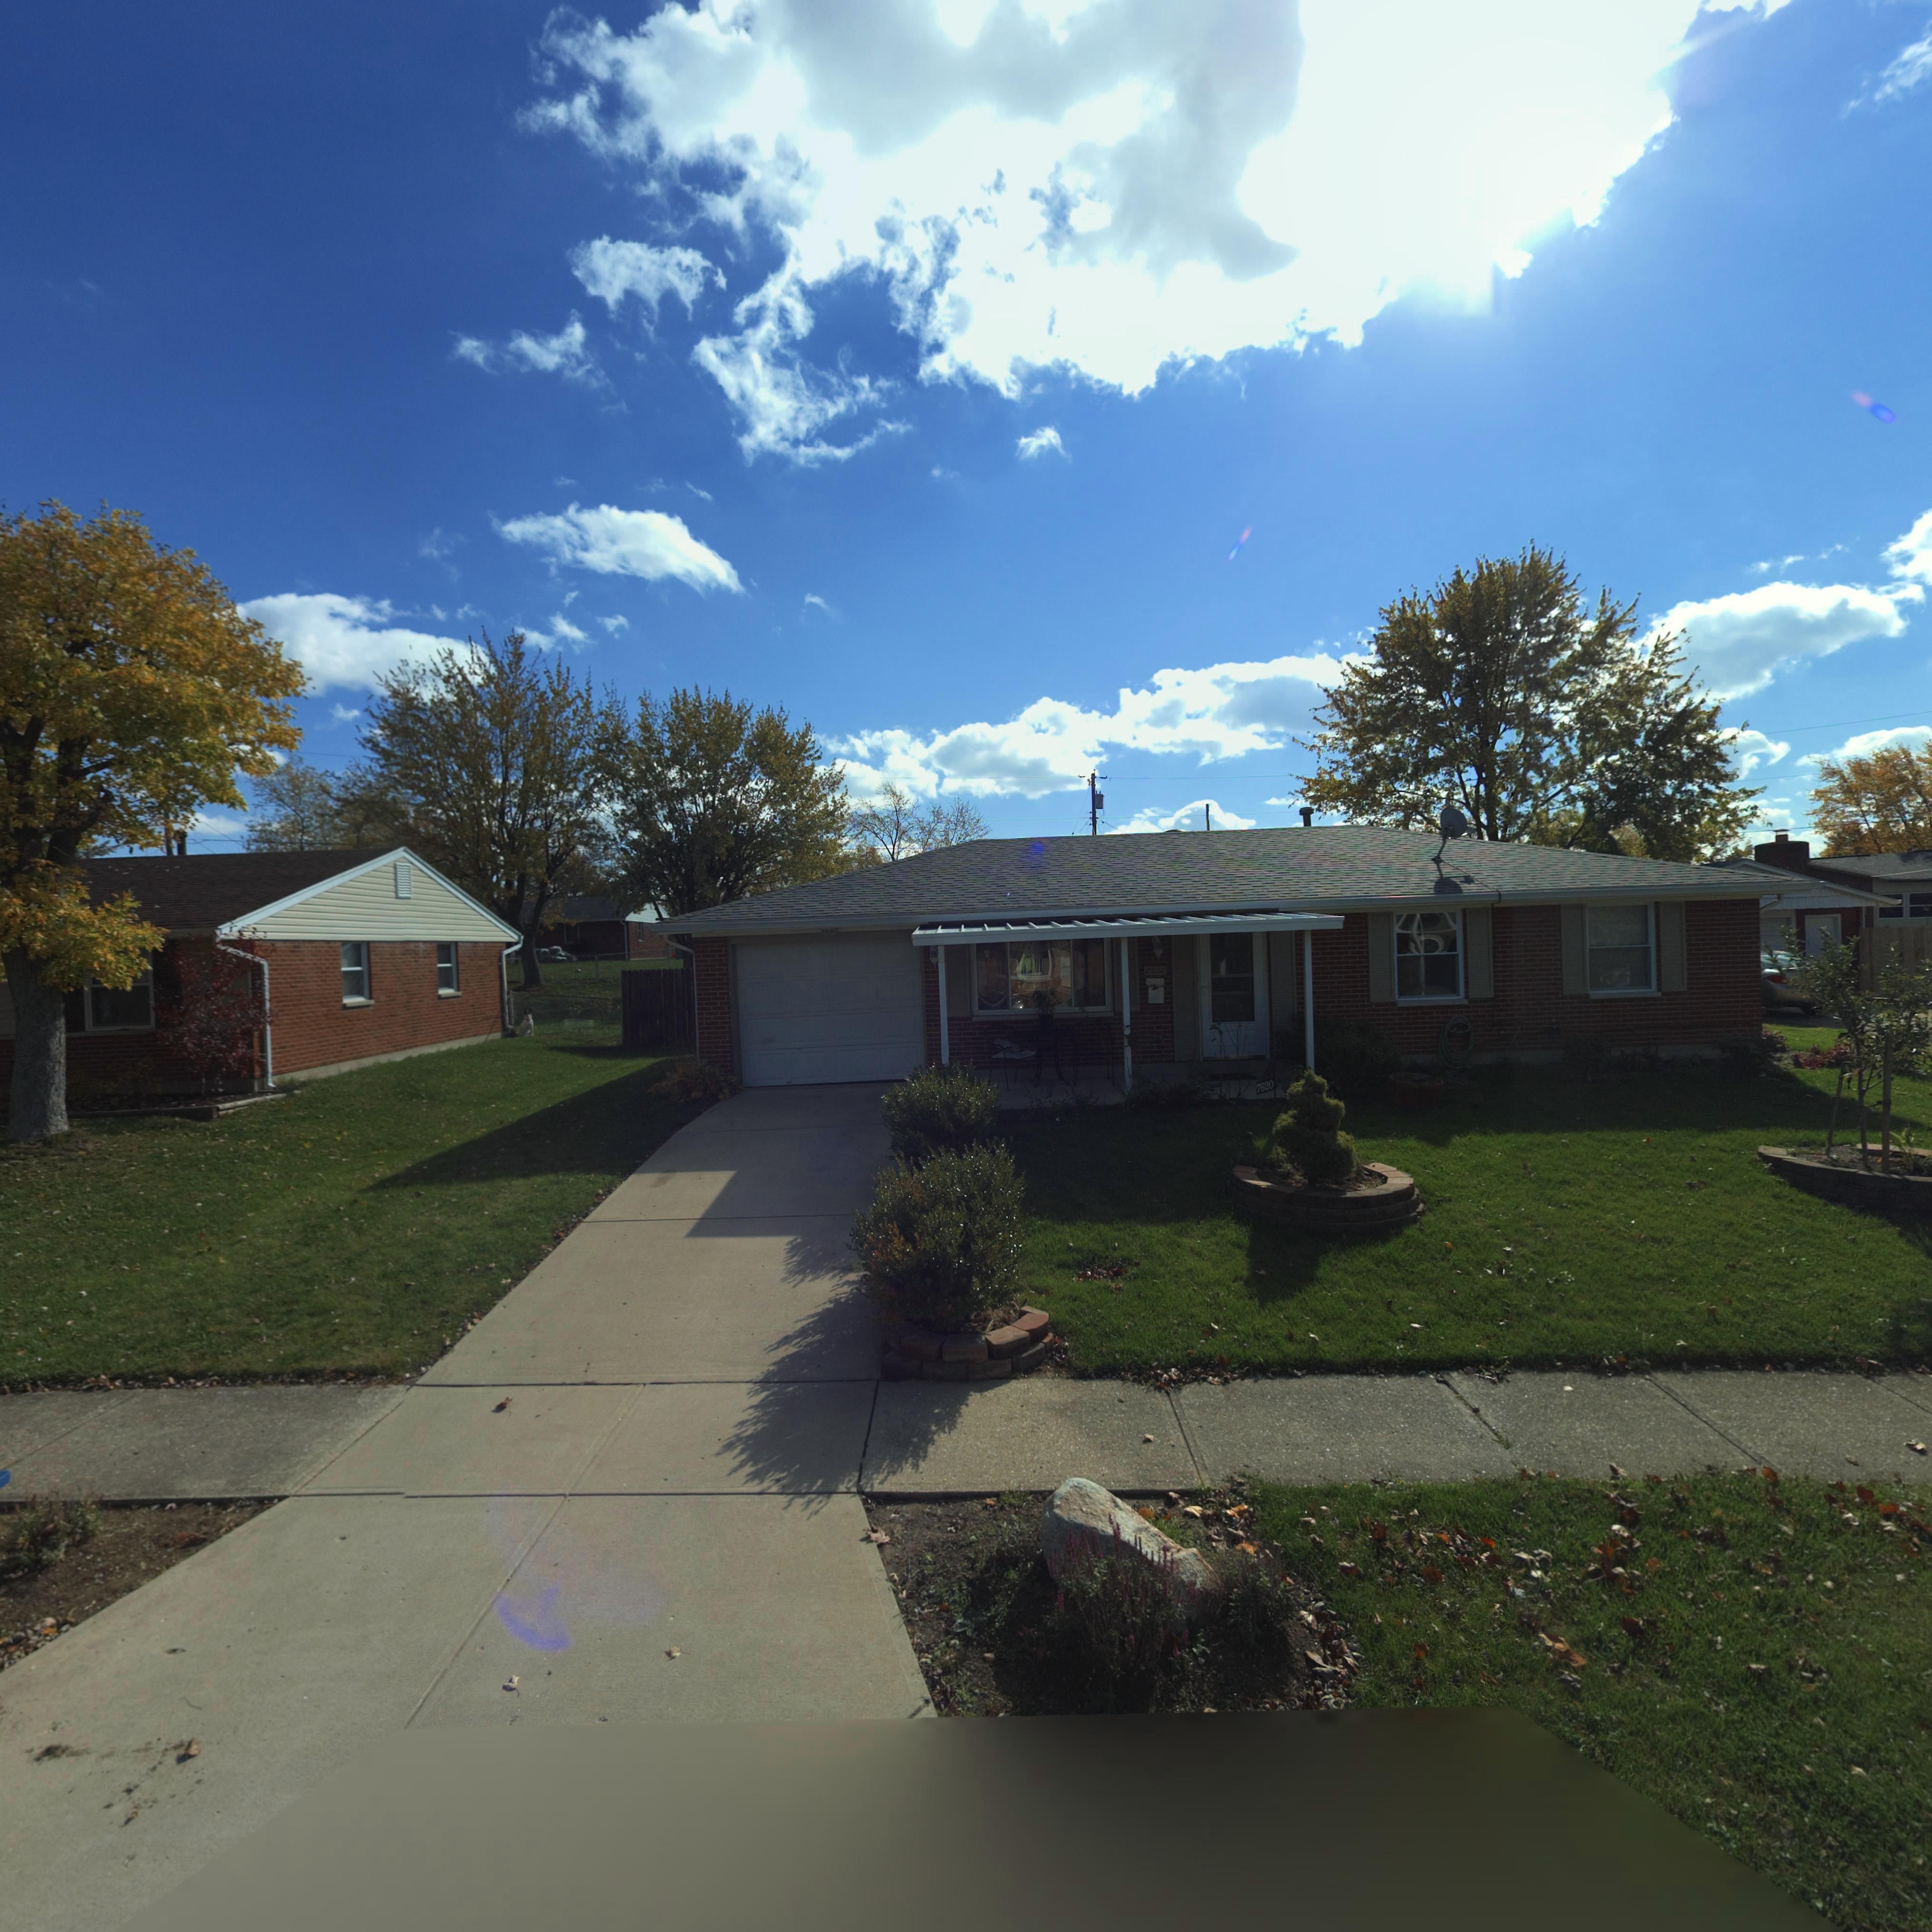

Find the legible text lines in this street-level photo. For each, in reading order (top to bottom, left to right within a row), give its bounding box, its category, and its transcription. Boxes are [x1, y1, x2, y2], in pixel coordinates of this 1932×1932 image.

[1144, 966, 1166, 975] StreetNumber: 7620
[1256, 1079, 1274, 1094] StreetNumber: 7620